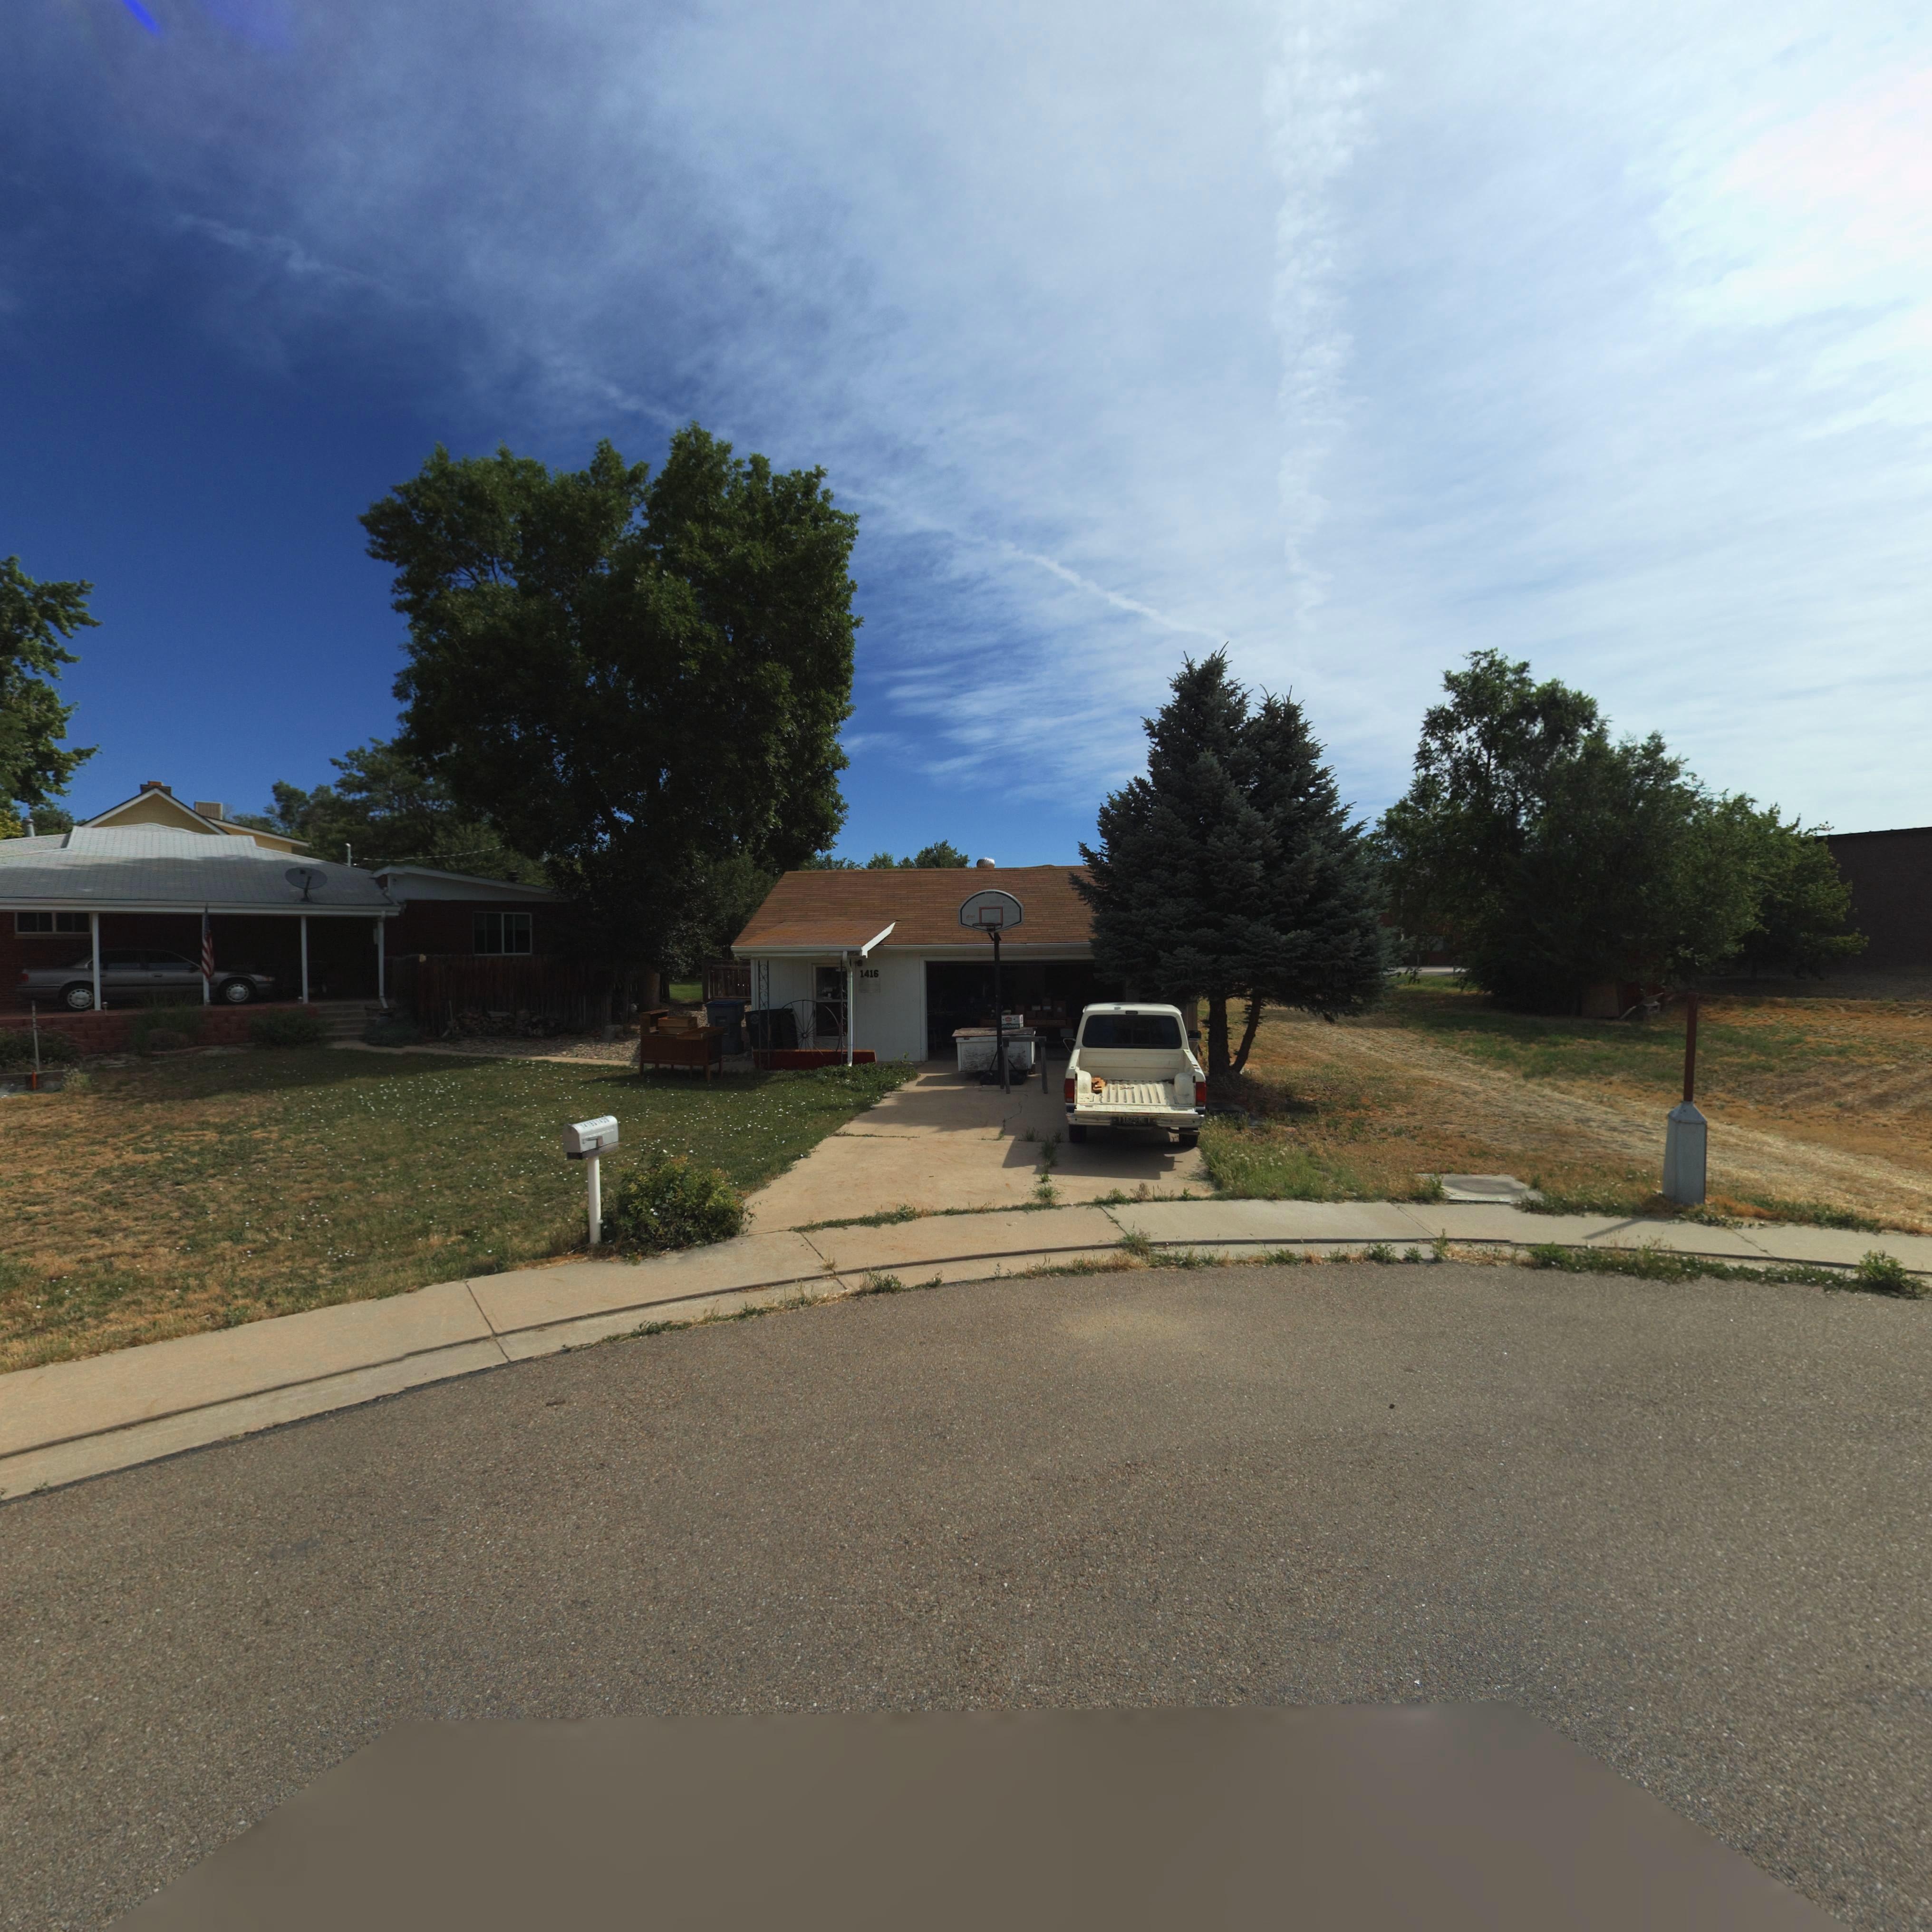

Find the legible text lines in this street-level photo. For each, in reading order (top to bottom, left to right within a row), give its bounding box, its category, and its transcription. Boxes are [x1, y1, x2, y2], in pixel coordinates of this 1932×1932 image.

[859, 969, 879, 977] StreetNumber: 1416